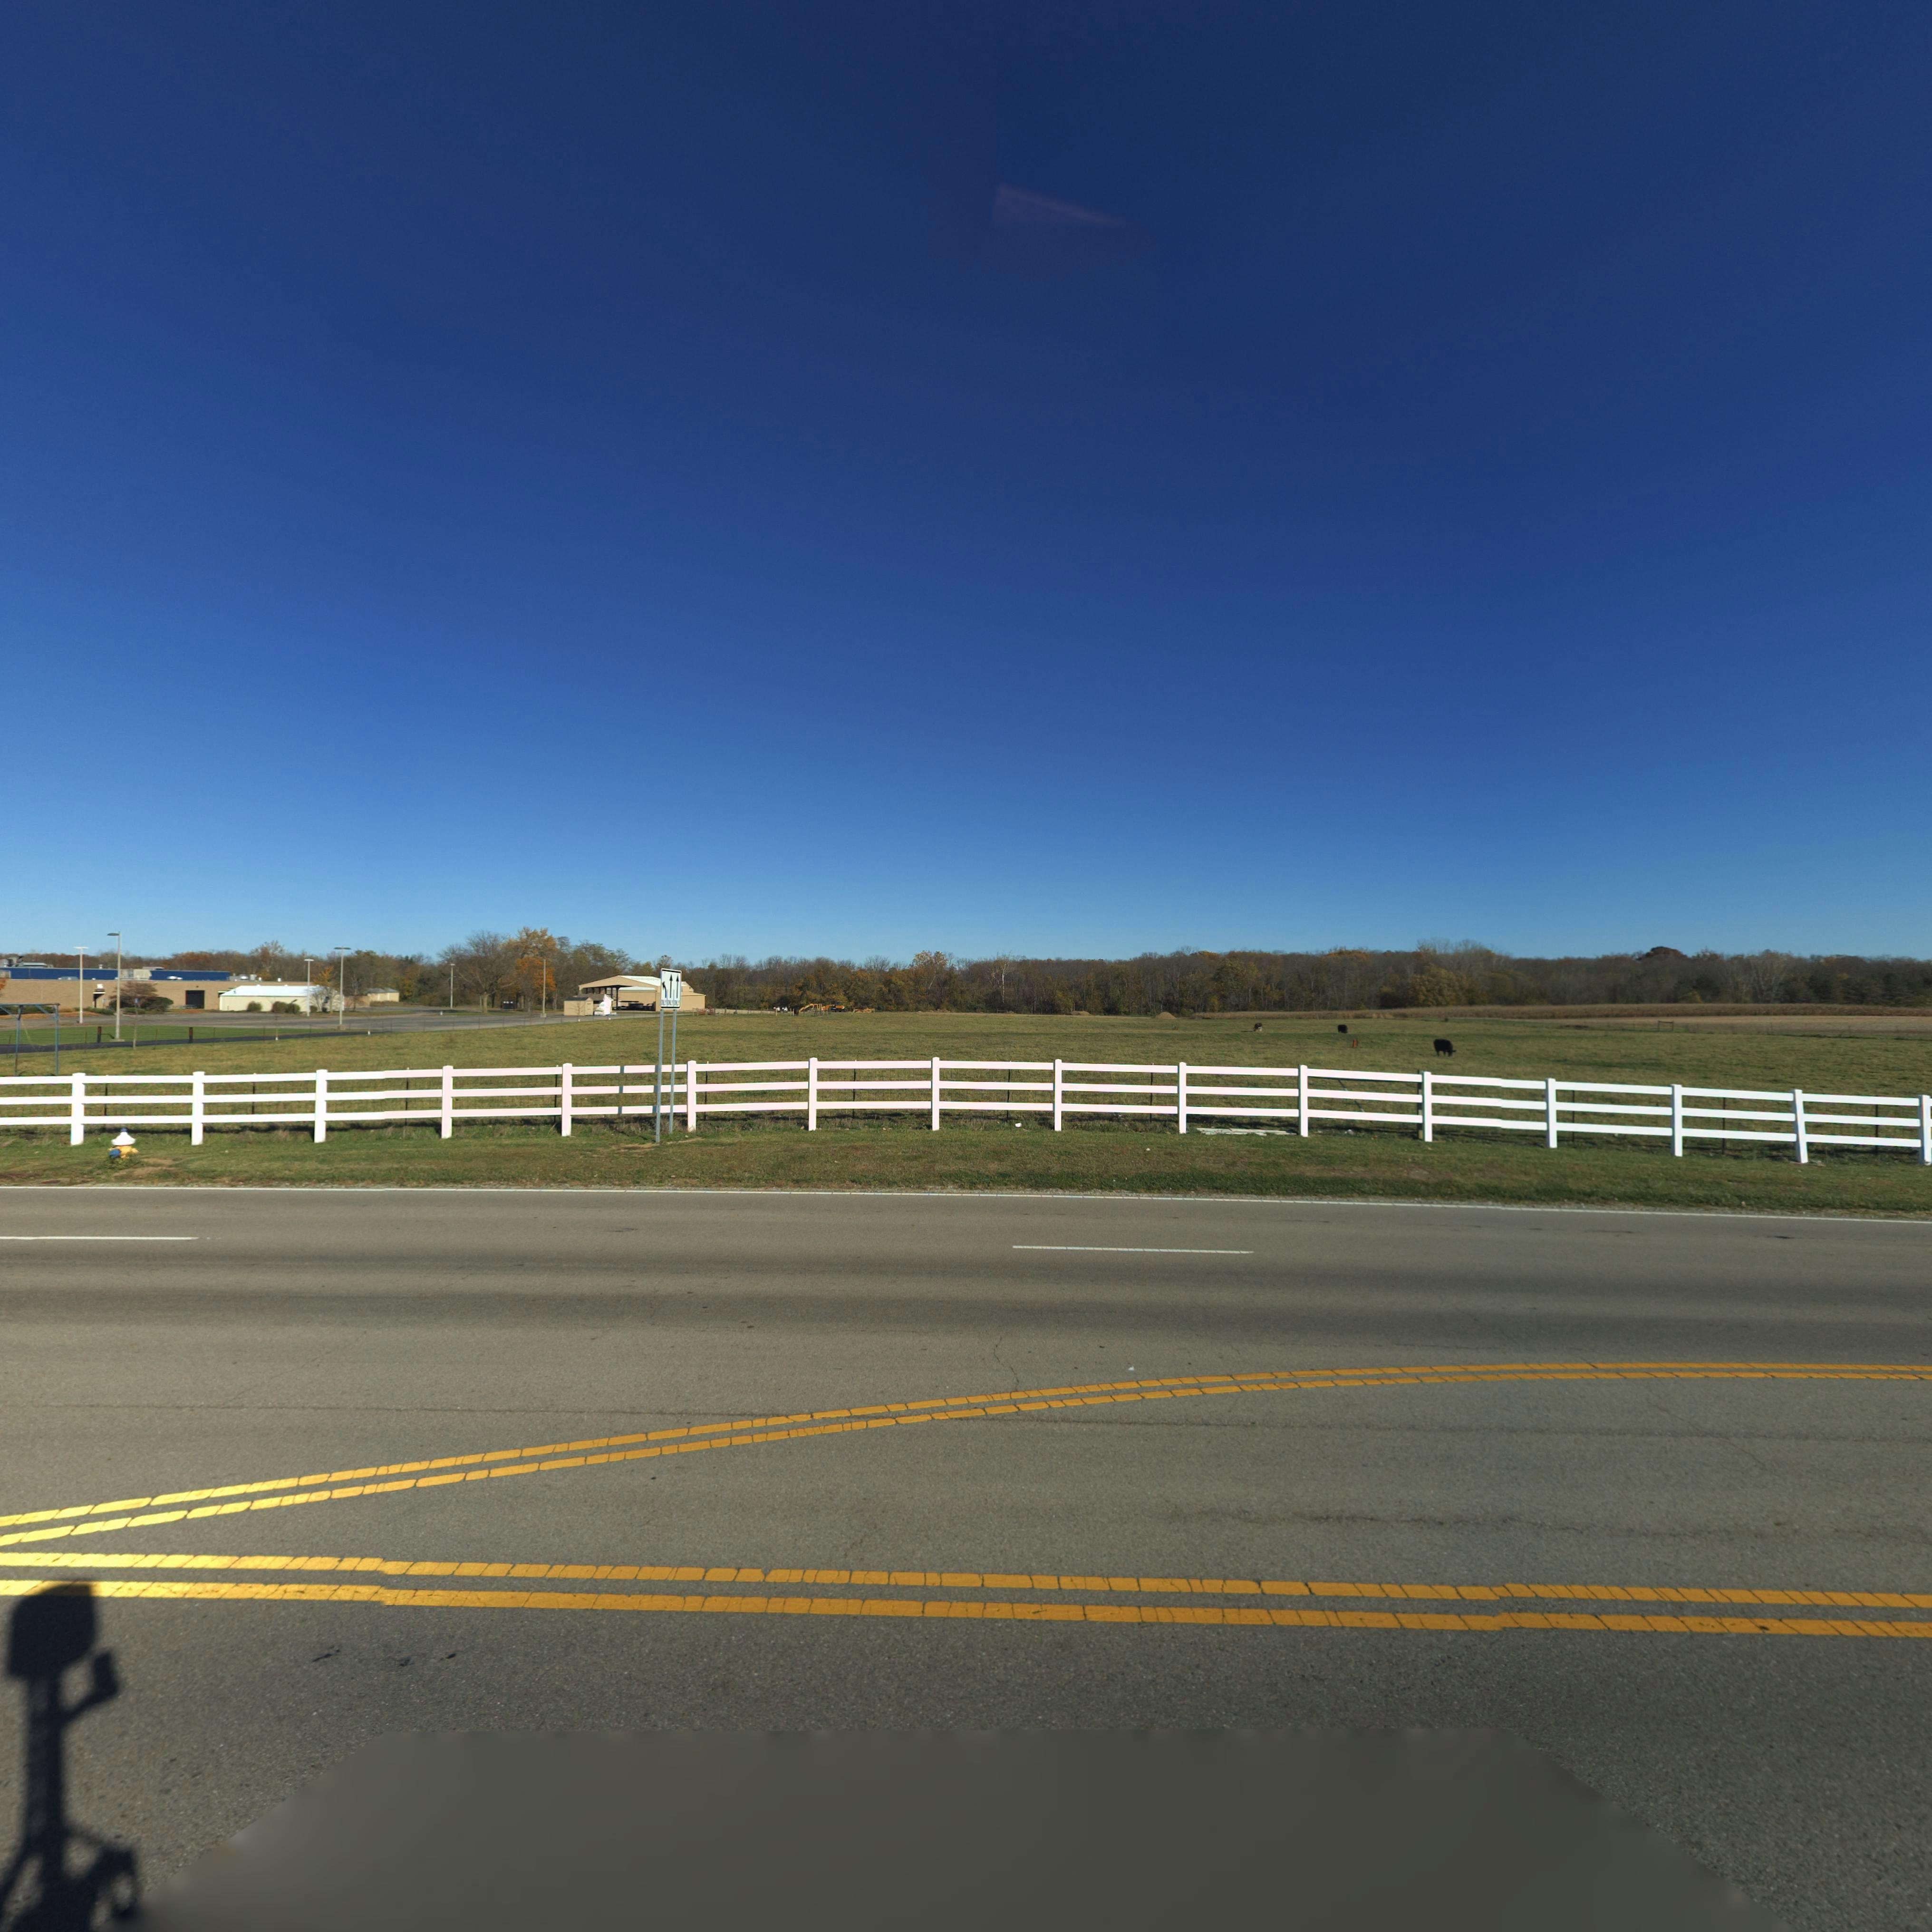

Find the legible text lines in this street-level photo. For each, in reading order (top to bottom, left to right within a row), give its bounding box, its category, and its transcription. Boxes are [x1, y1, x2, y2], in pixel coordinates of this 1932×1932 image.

[97, 984, 103, 989] StreetNumber: 16